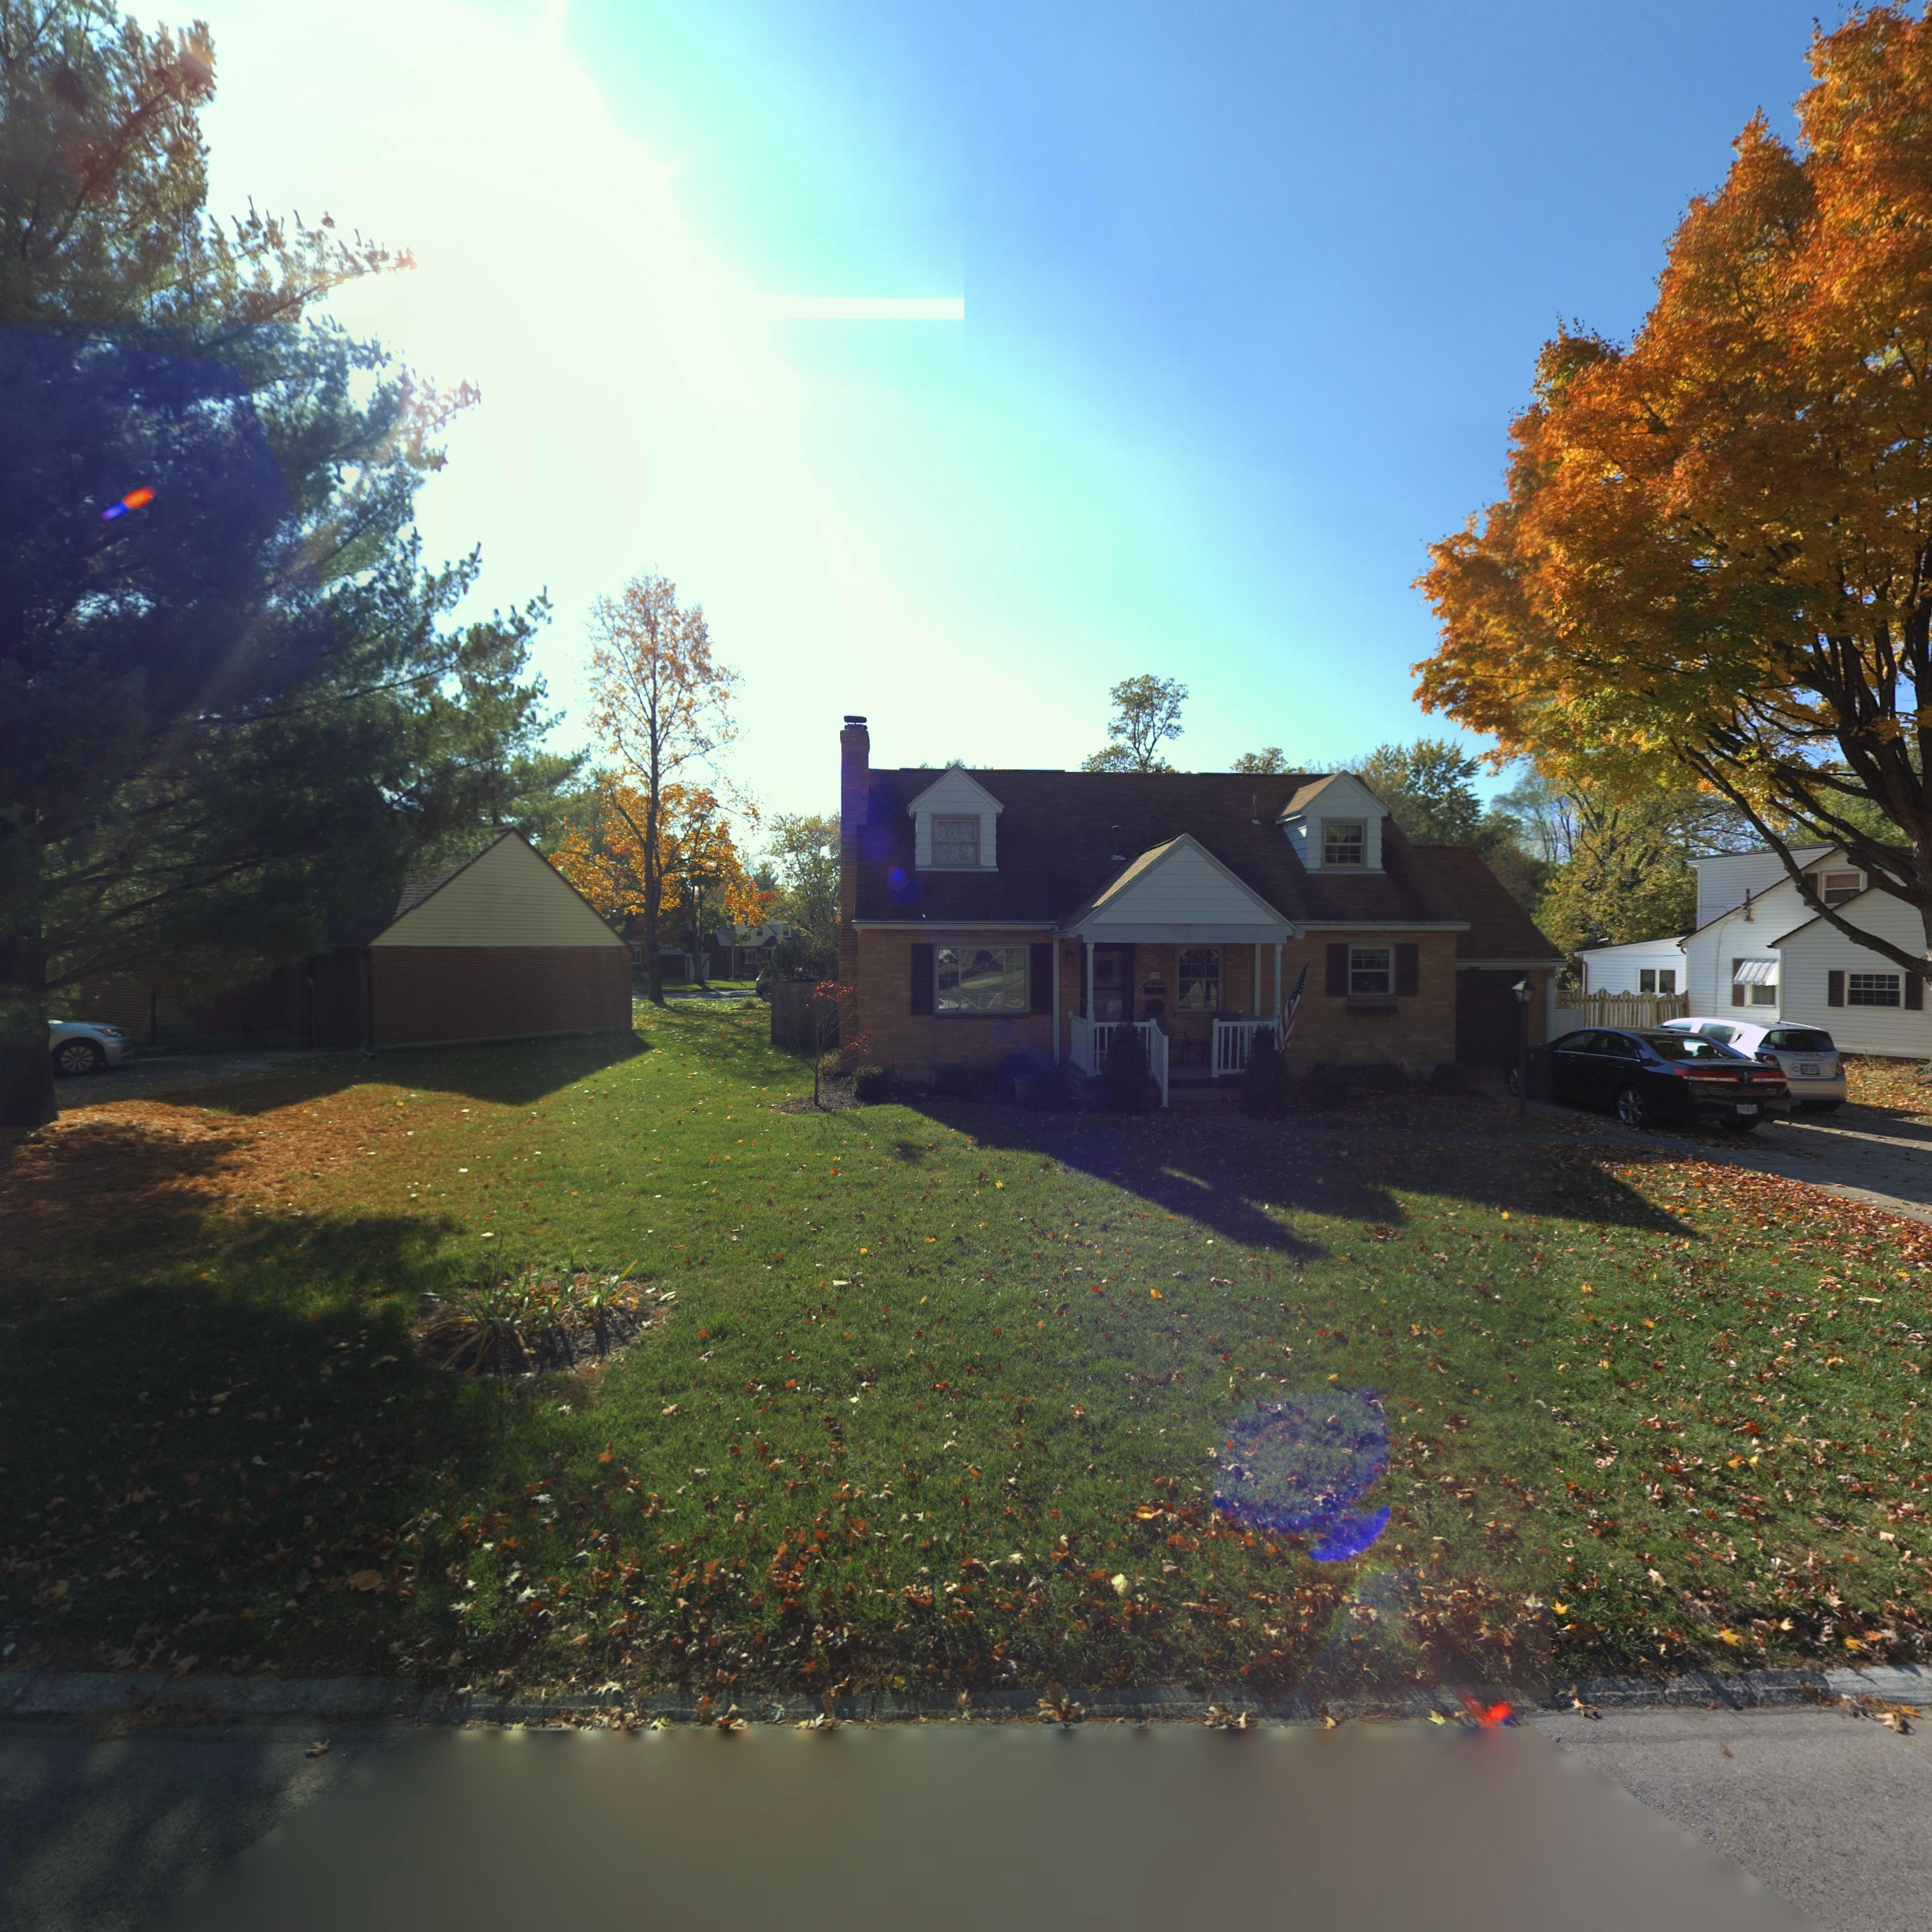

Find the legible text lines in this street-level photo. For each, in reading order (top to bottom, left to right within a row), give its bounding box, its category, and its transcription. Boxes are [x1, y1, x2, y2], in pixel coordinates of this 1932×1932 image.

[1148, 972, 1162, 979] StreetNumber: 716